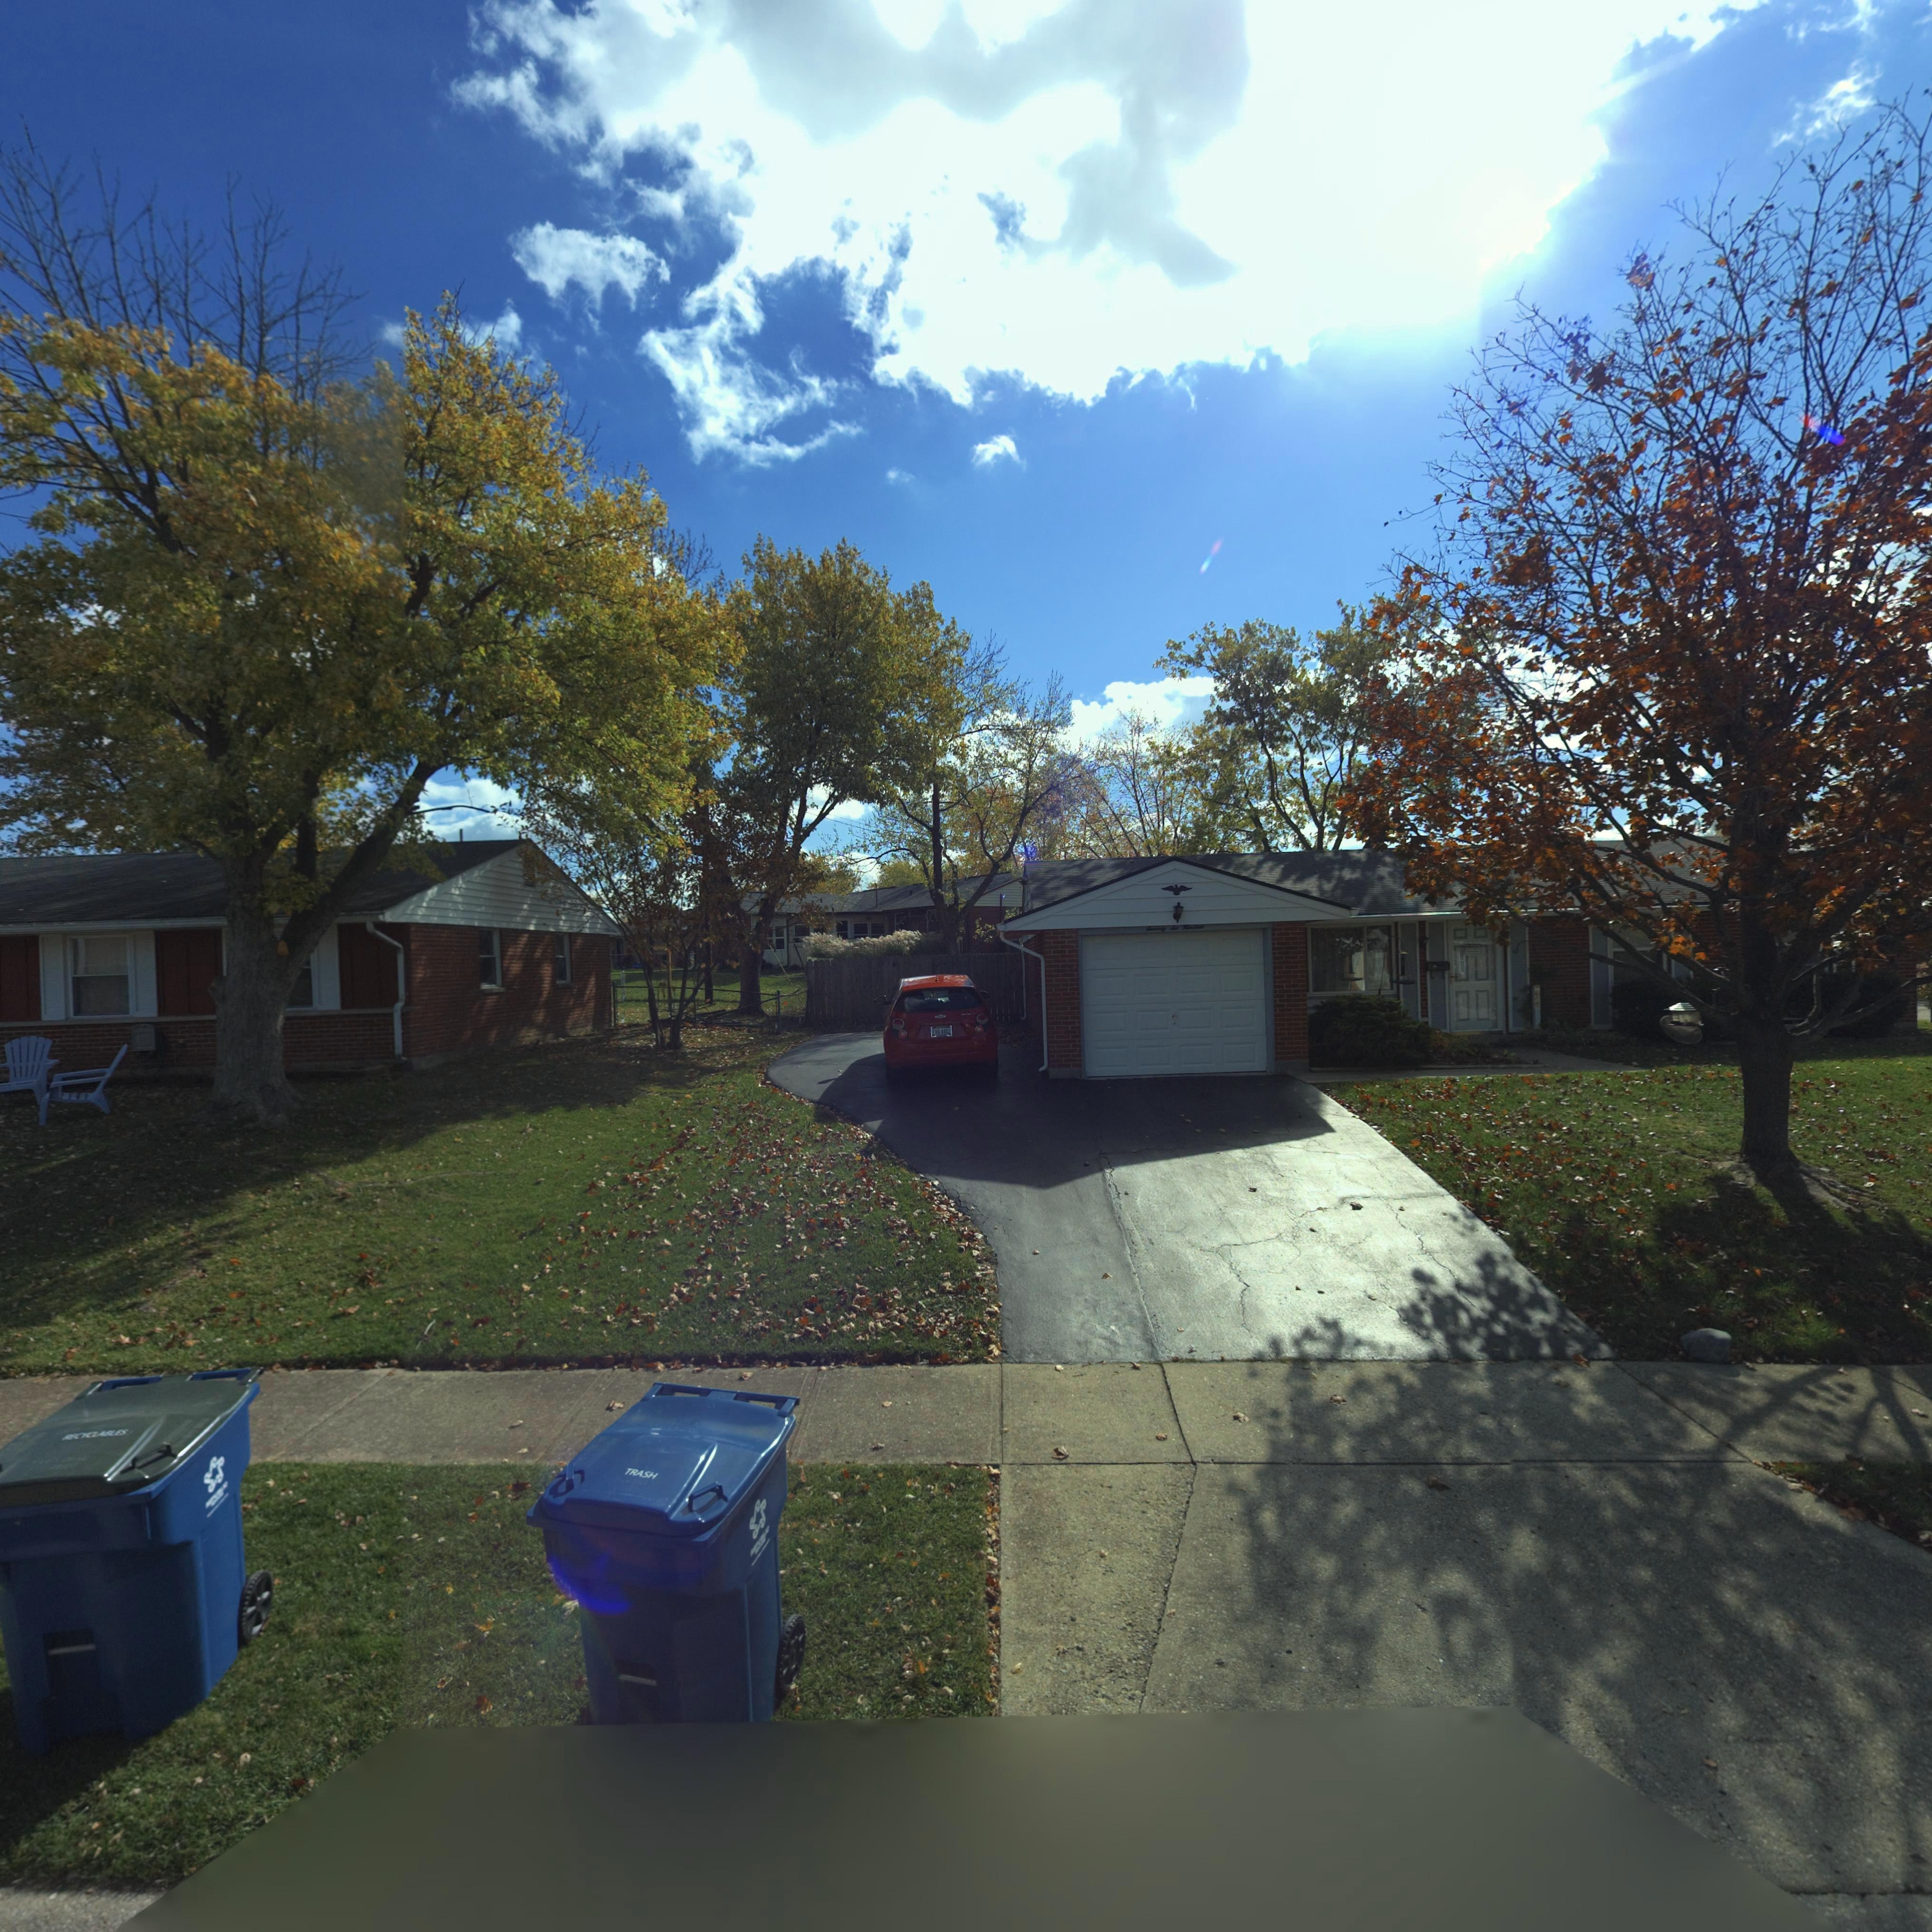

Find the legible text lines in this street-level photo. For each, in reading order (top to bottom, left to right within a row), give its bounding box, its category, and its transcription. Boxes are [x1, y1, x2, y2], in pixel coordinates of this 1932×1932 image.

[1145, 924, 1206, 933] StreetNumber: Seventy Six Hundred
[1533, 985, 1540, 1007] StreetNumber: 7600